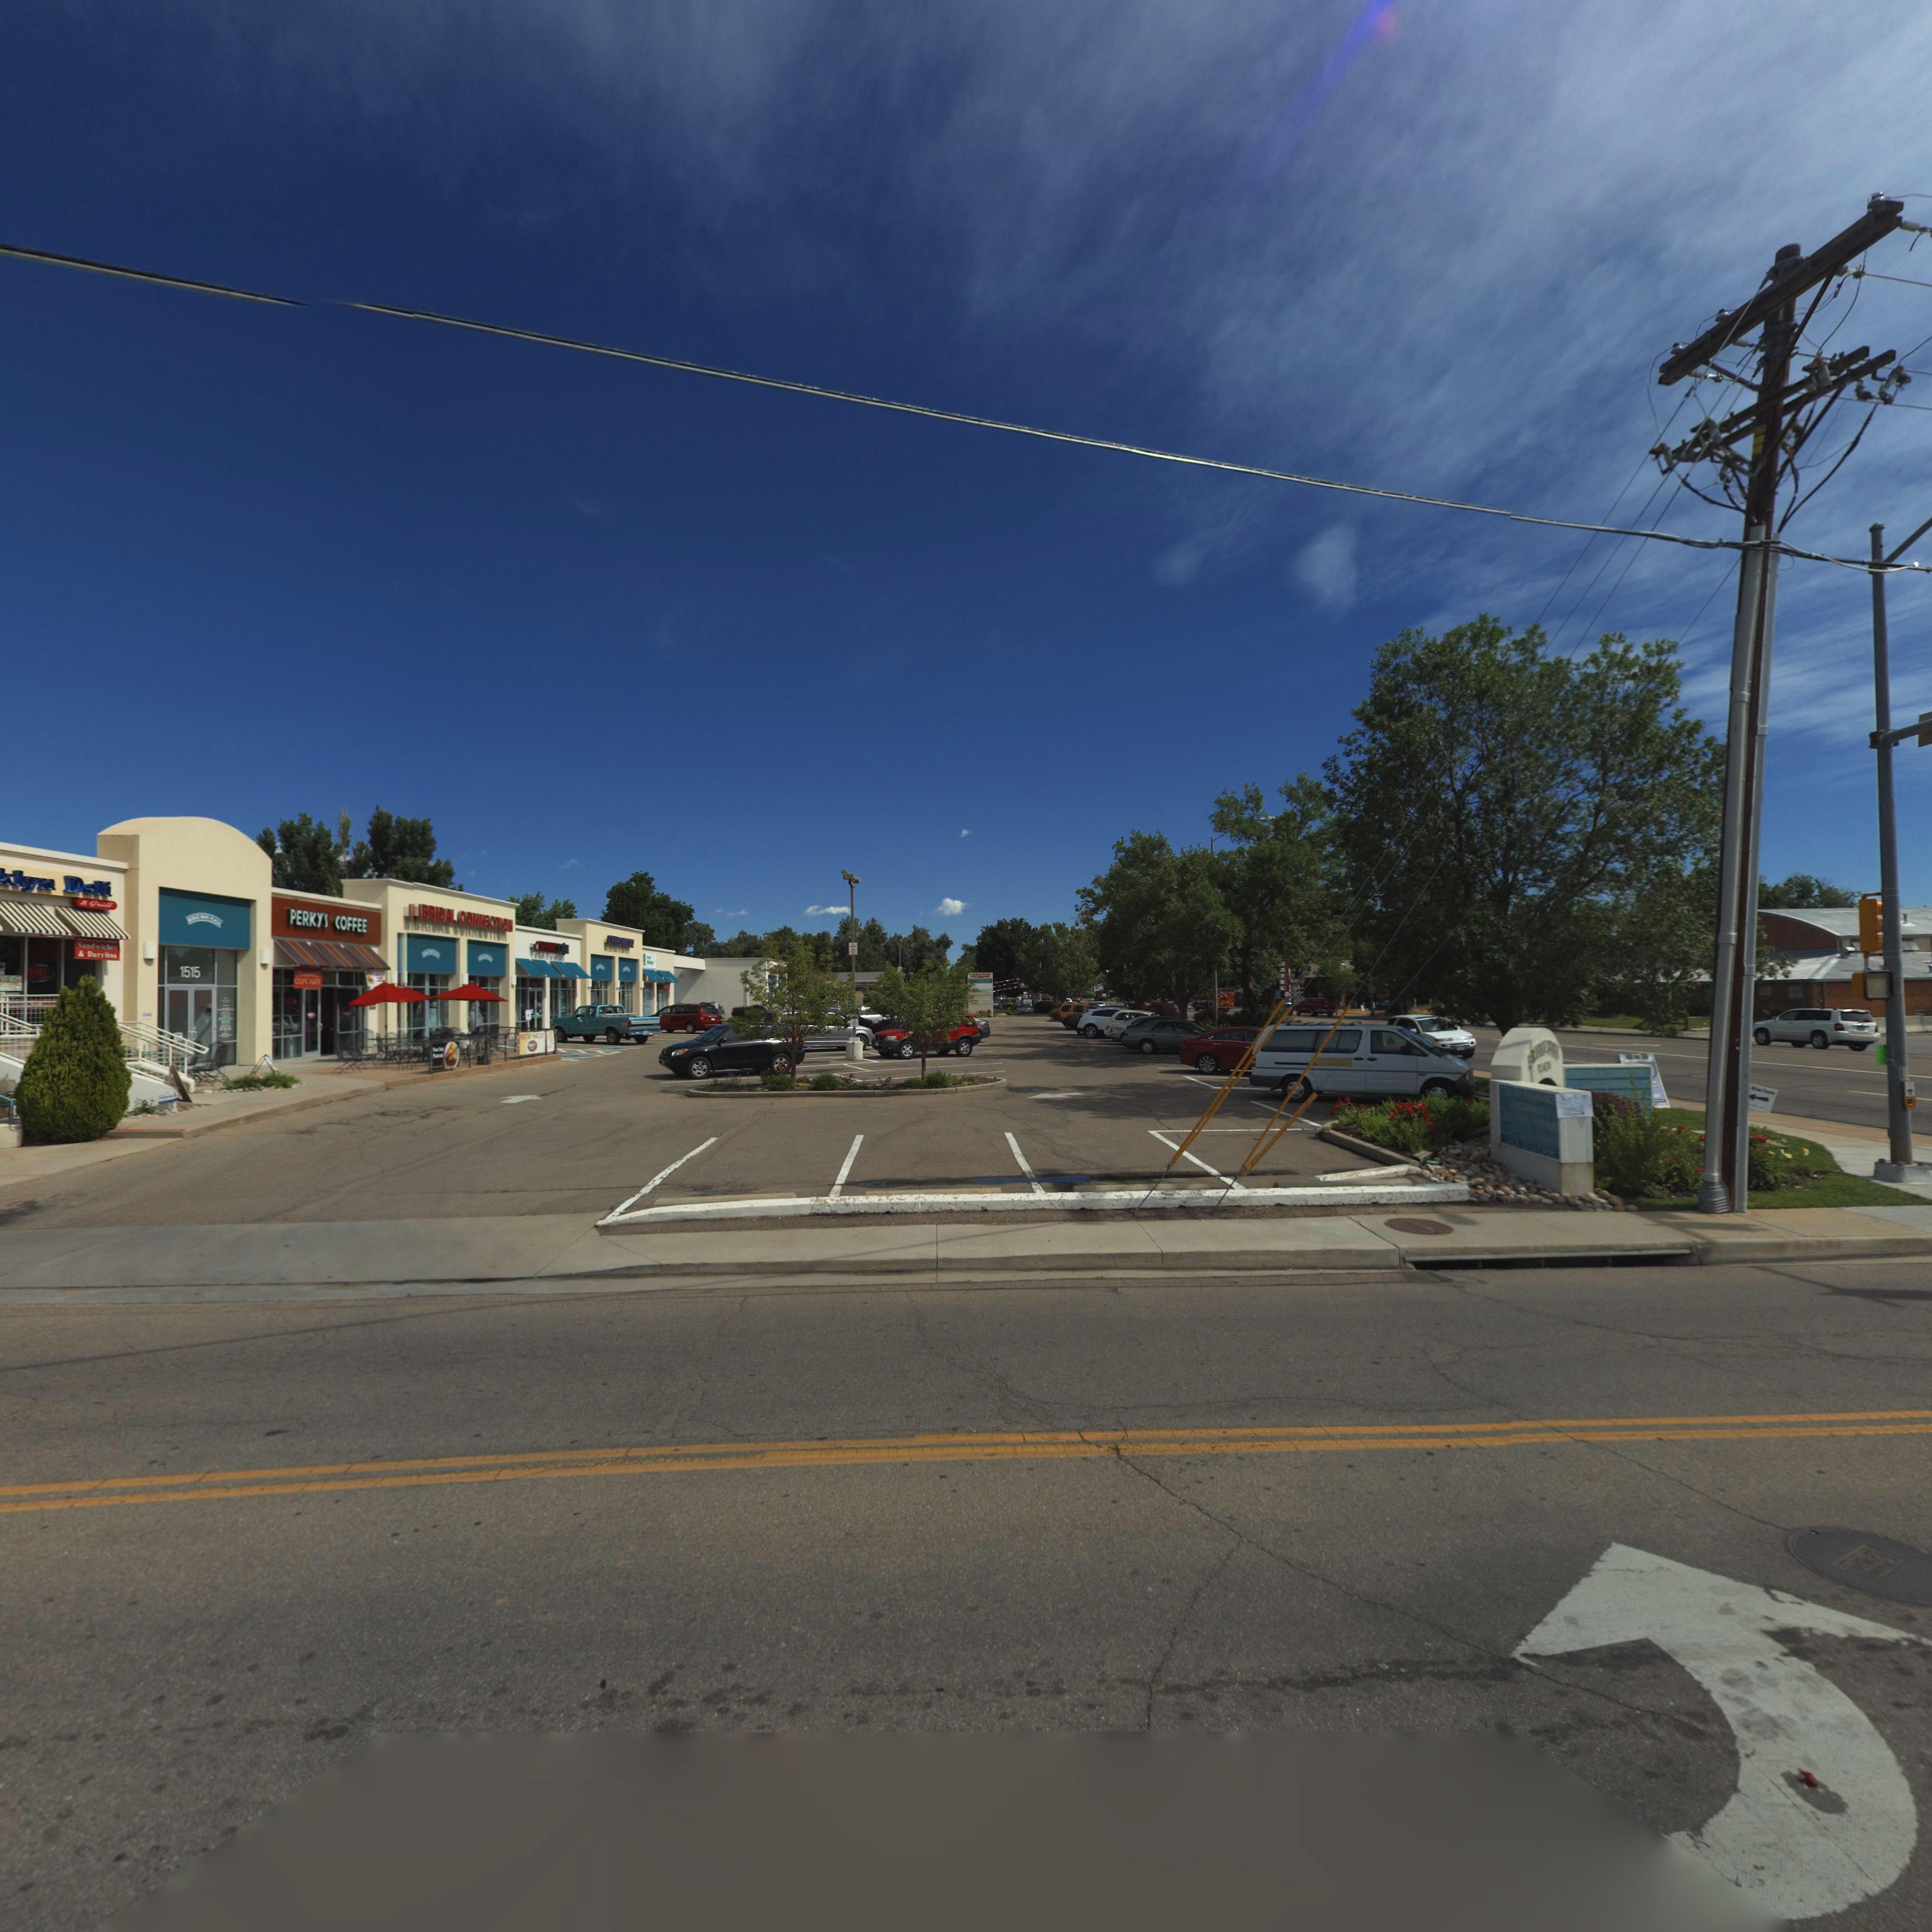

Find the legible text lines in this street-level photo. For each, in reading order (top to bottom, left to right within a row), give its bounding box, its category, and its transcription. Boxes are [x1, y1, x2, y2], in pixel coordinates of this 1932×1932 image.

[0, 867, 112, 897] StreetNumber: klyn Deli
[78, 898, 114, 908] BusinessName: & Grill
[289, 907, 368, 934] BusinessName: PERKYS COFFEE
[418, 902, 513, 933] BusinessName: BRIDAL CONNECTION
[534, 940, 569, 956] BusinessName: C****CA**
[607, 934, 635, 948] BusinessName: CH**ONCV*
[178, 965, 201, 979] StreetNumber: 1515